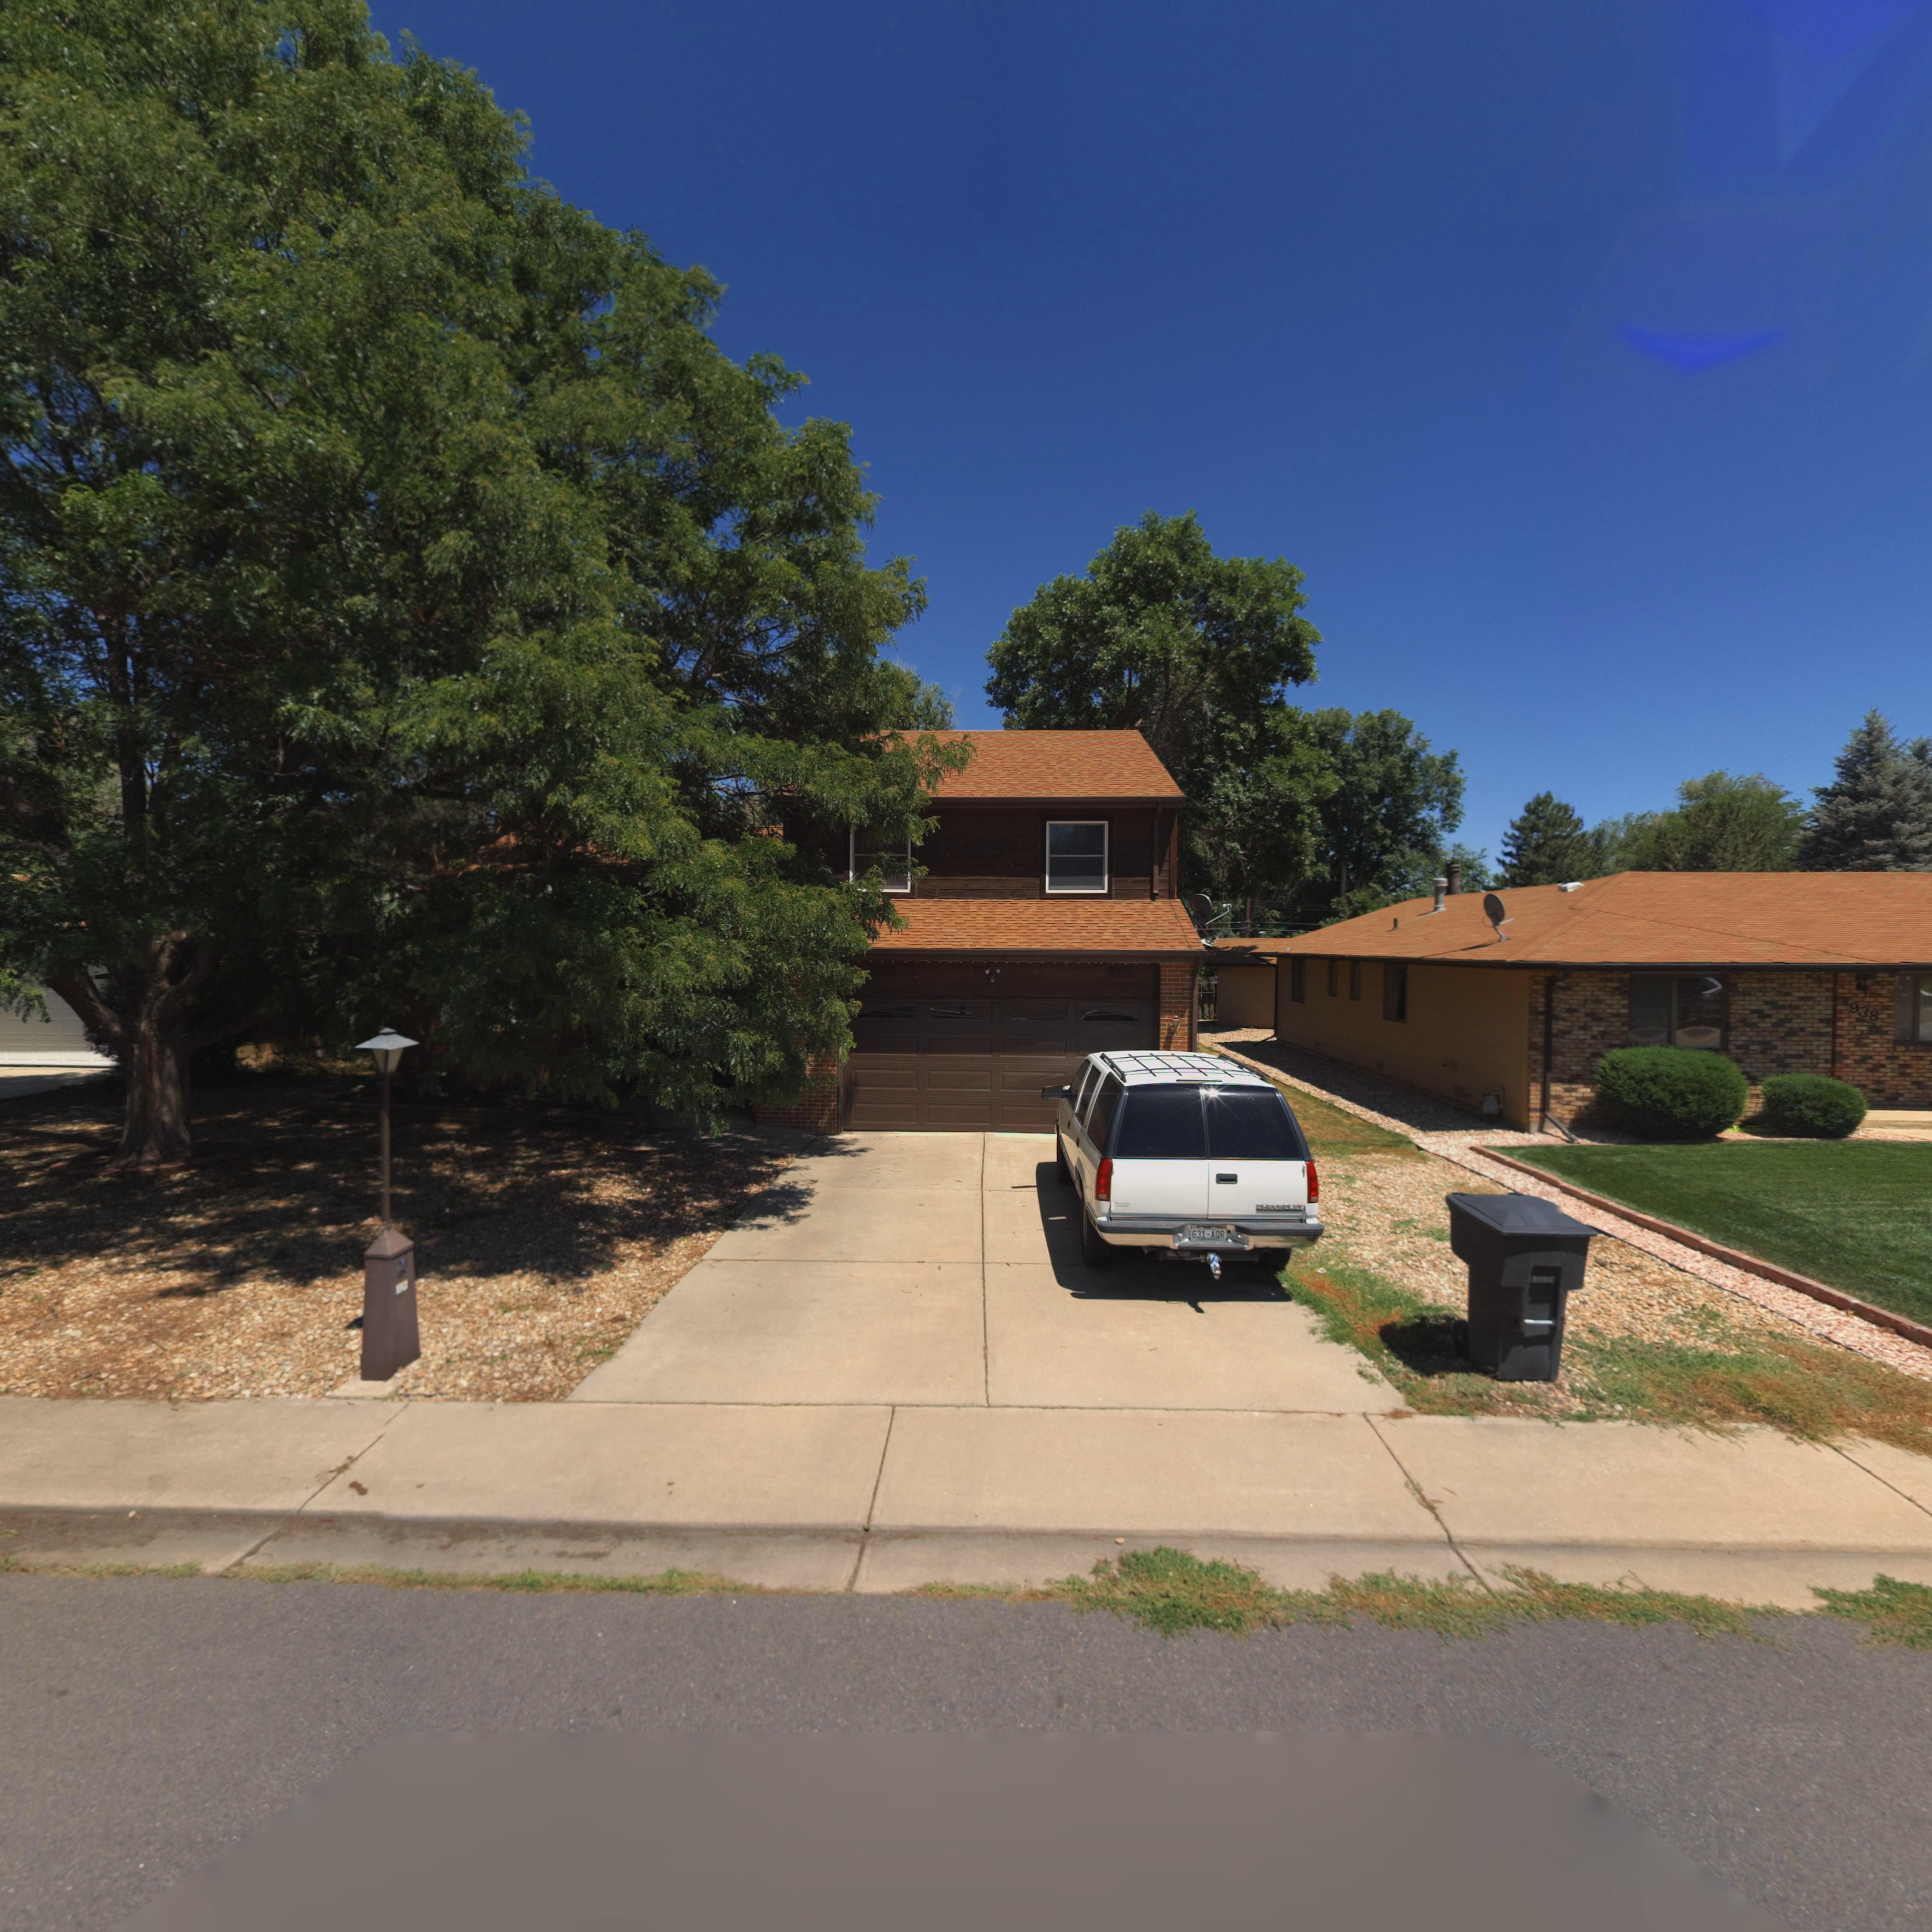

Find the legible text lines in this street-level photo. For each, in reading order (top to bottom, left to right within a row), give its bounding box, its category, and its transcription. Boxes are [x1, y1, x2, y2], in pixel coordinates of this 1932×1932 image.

[1848, 1001, 1879, 1022] StreetNumber: 938